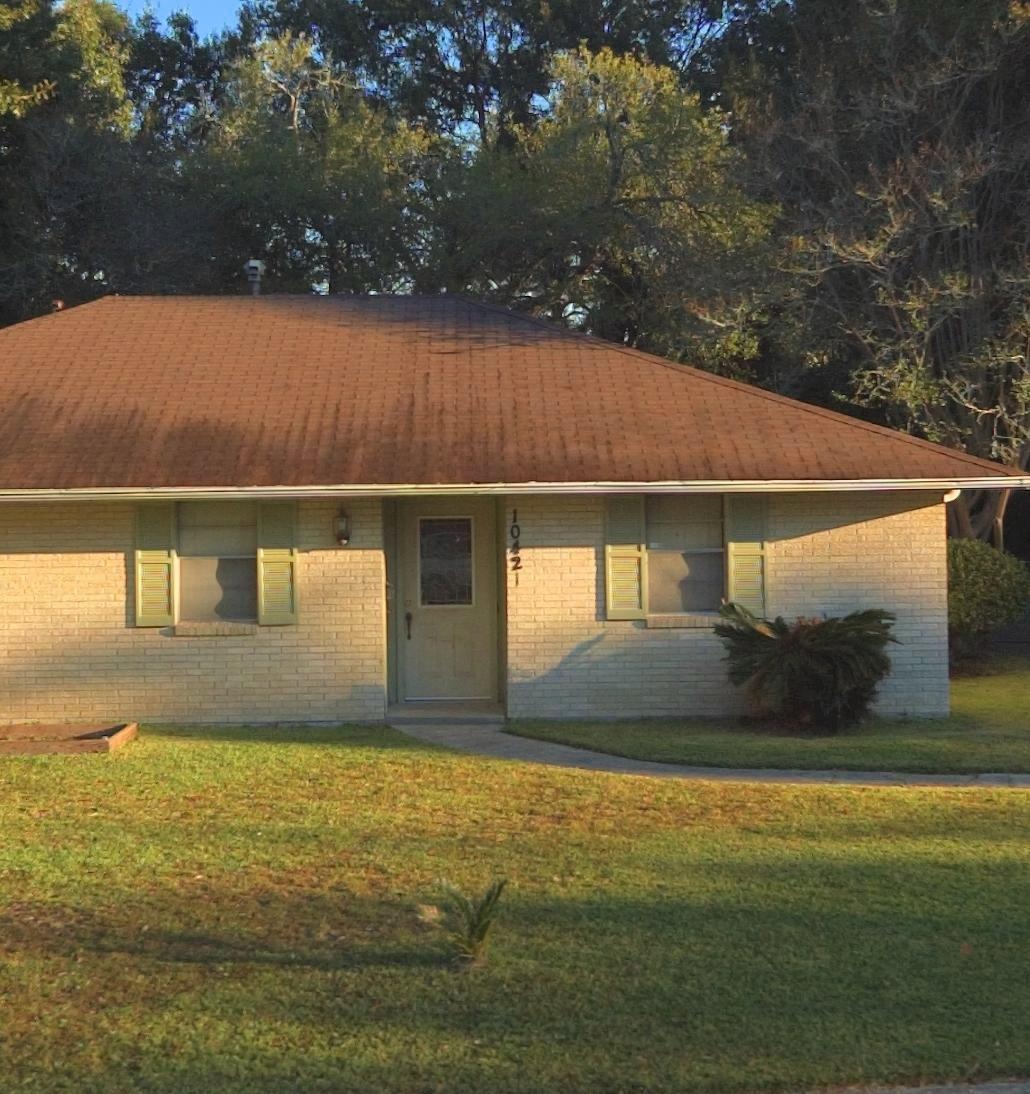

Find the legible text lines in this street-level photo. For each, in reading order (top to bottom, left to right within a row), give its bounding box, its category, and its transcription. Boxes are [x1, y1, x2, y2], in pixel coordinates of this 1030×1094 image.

[507, 506, 525, 589] StreetNumber: 10421